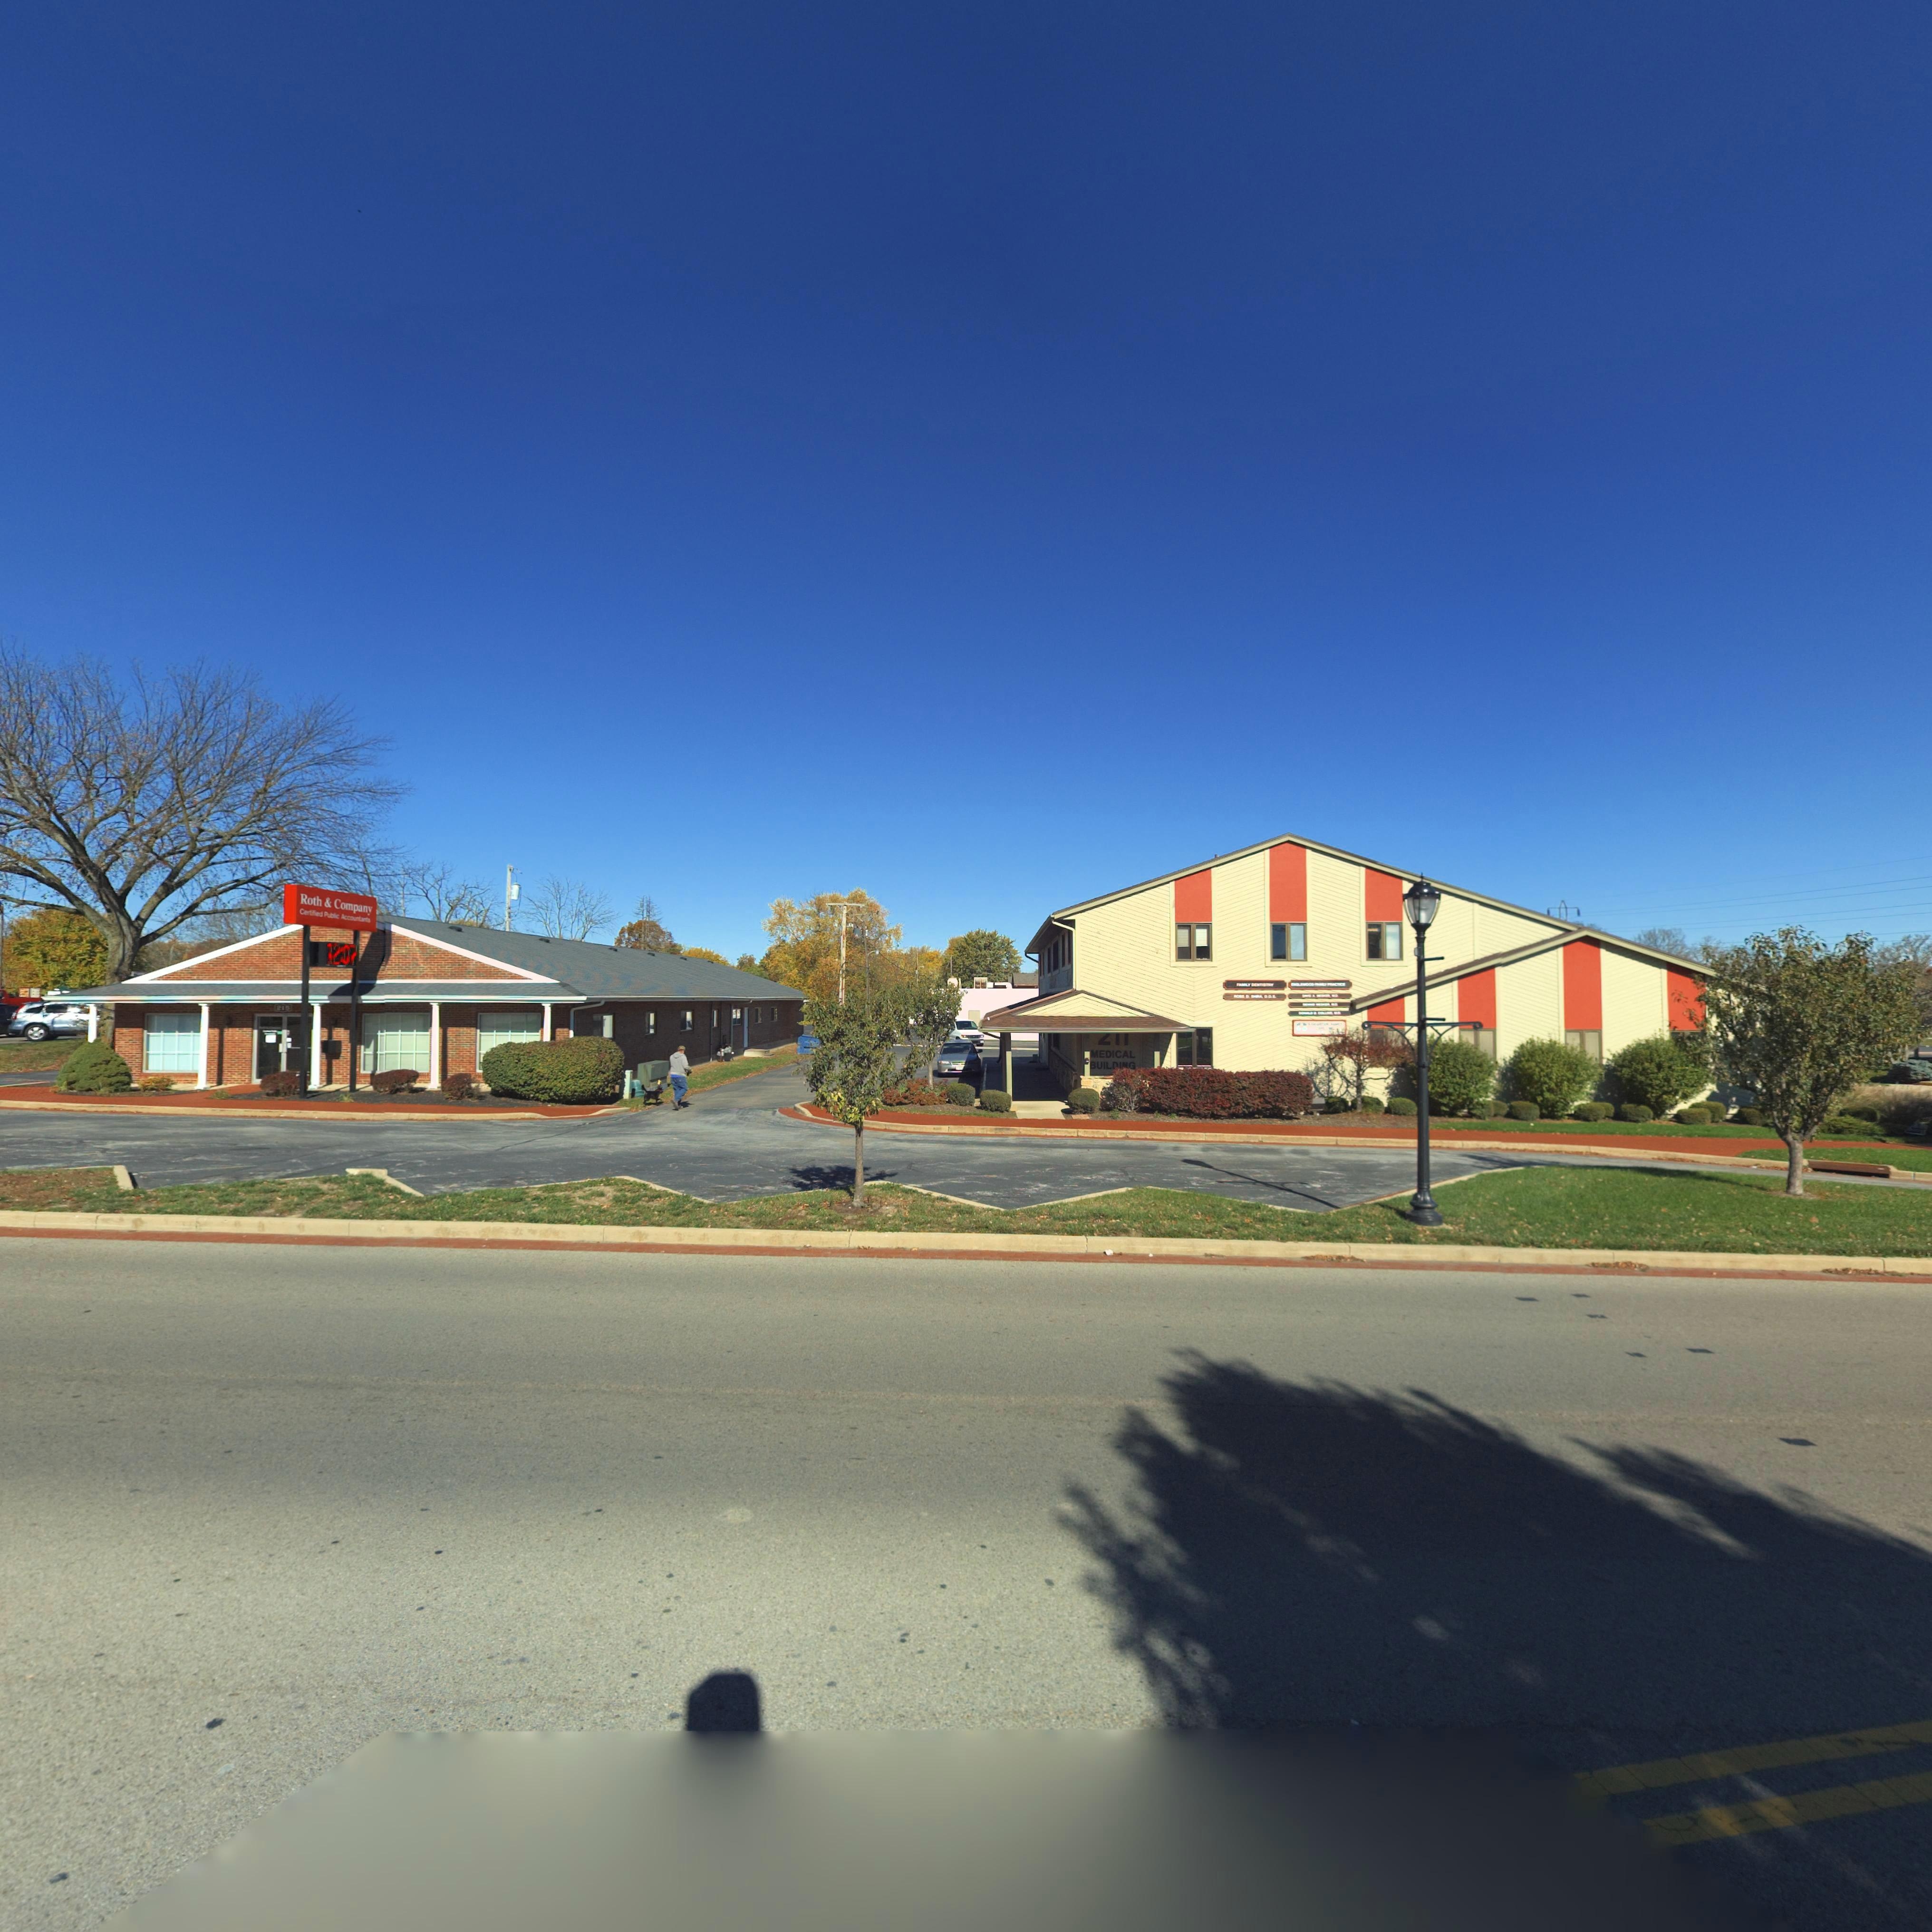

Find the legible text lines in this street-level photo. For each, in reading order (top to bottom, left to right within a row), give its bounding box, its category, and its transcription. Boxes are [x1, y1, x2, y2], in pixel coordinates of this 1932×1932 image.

[299, 892, 374, 917] BusinessName: Roth & Company
[299, 908, 371, 924] None: Certified Public Accountants
[276, 1005, 290, 1010] StreetNumber: 215
[1115, 1033, 1129, 1045] StreetNumber: 11
[1090, 1049, 1136, 1059] None: MEDICAL
[1090, 1061, 1136, 1071] None: BUILDI*G